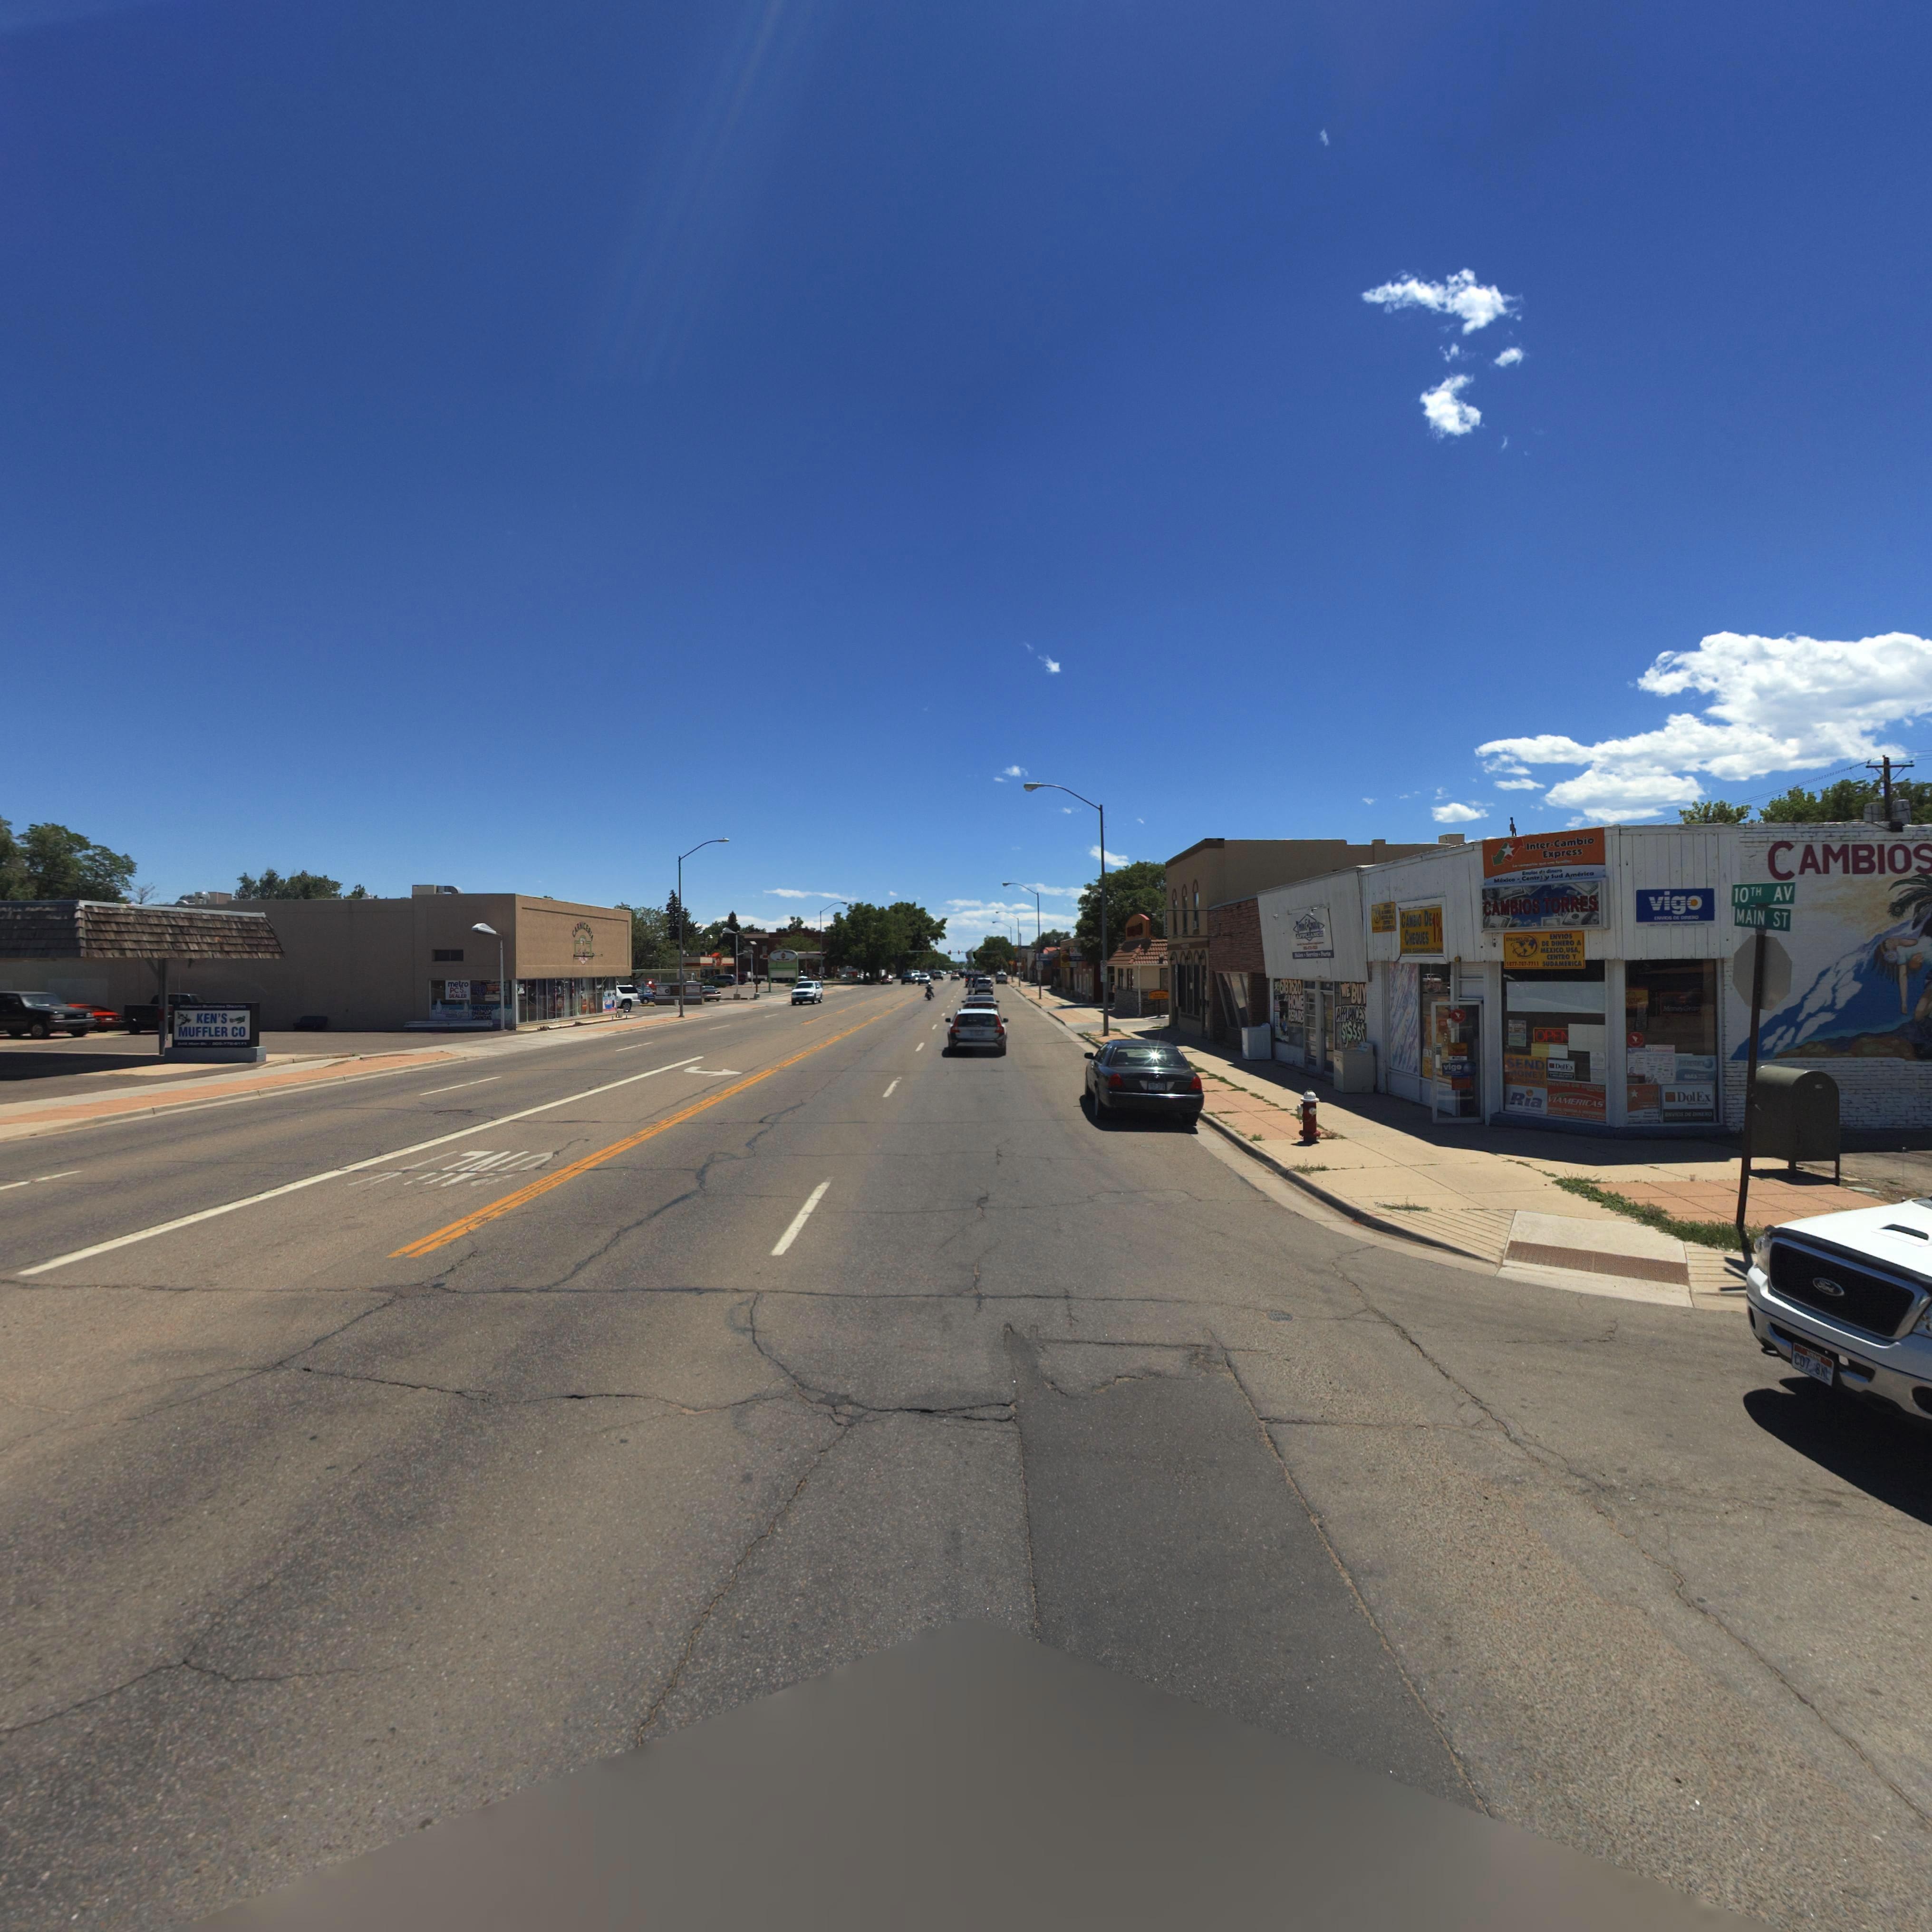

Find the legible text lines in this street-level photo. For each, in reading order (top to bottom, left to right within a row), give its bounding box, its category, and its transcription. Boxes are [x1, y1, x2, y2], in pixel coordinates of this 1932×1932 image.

[1767, 840, 1913, 881] BusinessName: CAMBIO
[1734, 885, 1793, 903] StreetName: 10TH AV
[1483, 895, 1597, 916] BusinessName: CAMBIOS TORRES
[1295, 918, 1321, 933] BusinessName: Town * Country
[1296, 931, 1323, 938] BusinessName: APPLIANCE
[1736, 908, 1788, 928] StreetName: MAIN ST
[196, 1012, 227, 1024] BusinessName: KEN'S
[178, 1025, 246, 1037] BusinessName: MUFFLER CO